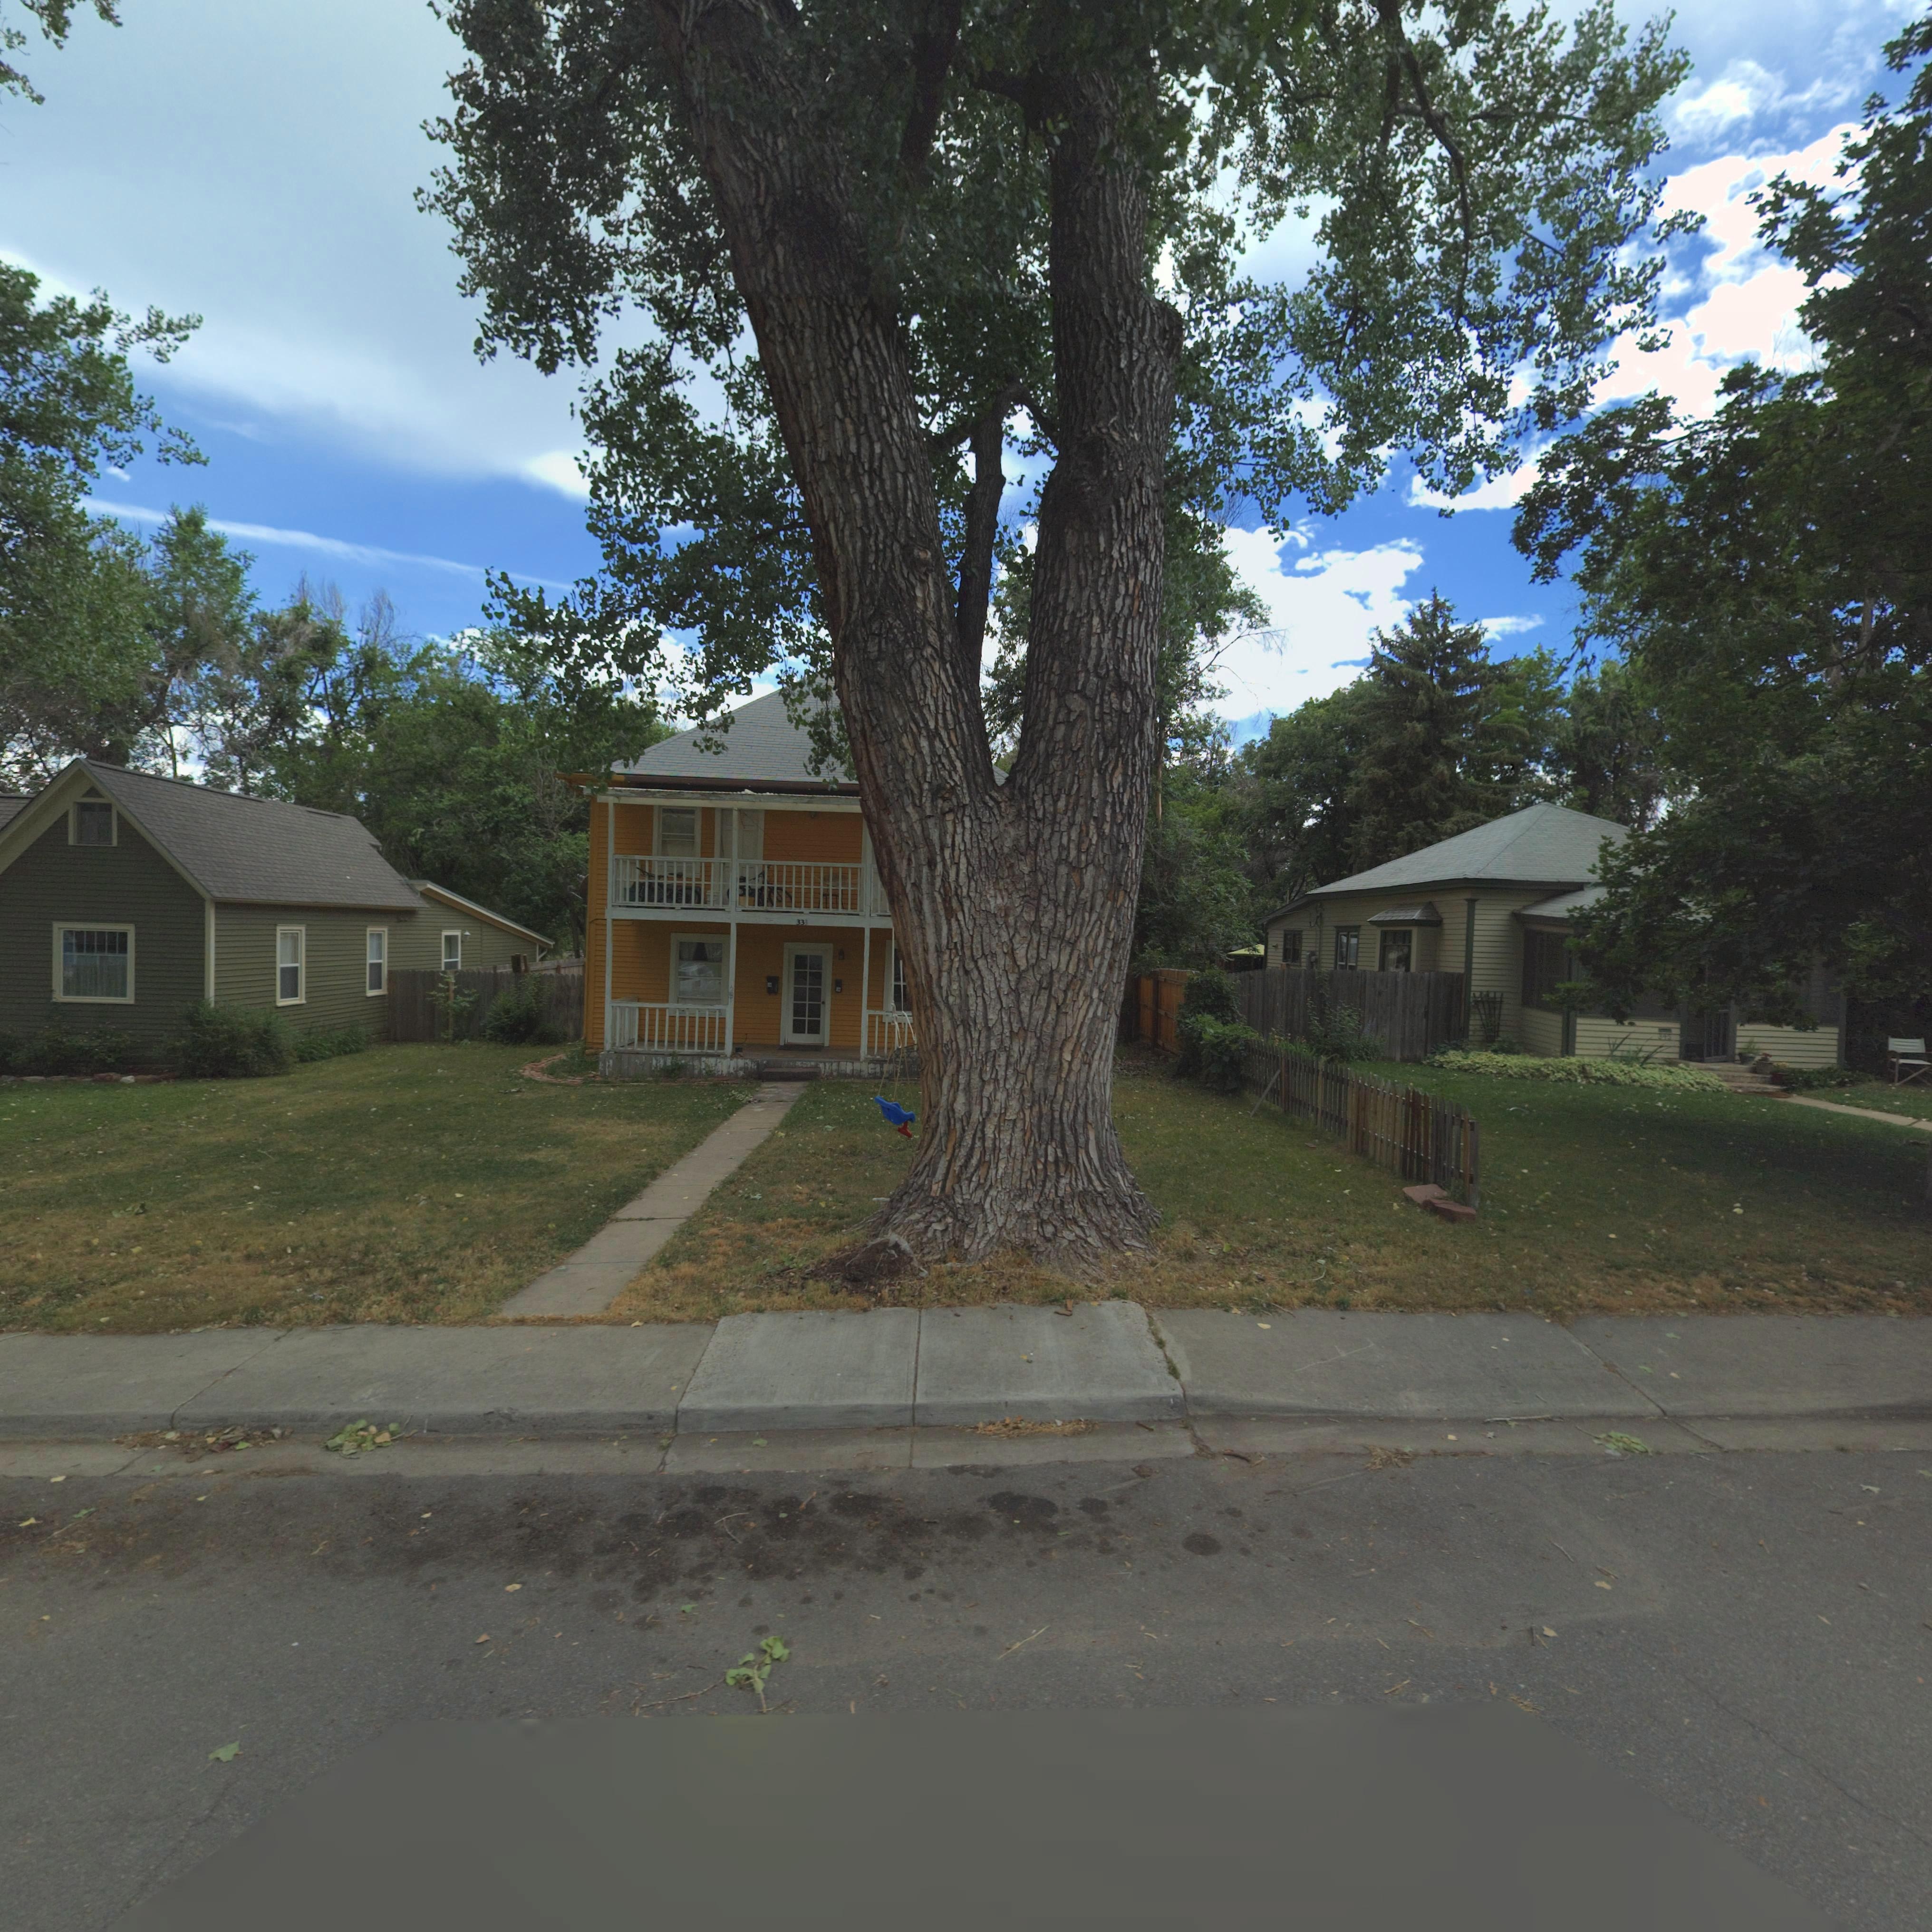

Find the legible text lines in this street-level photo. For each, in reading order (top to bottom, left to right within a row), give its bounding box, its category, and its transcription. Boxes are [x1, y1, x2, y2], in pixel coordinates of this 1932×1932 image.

[796, 918, 808, 926] StreetNumber: 333
[1657, 1033, 1671, 1041] StreetNumber: 345